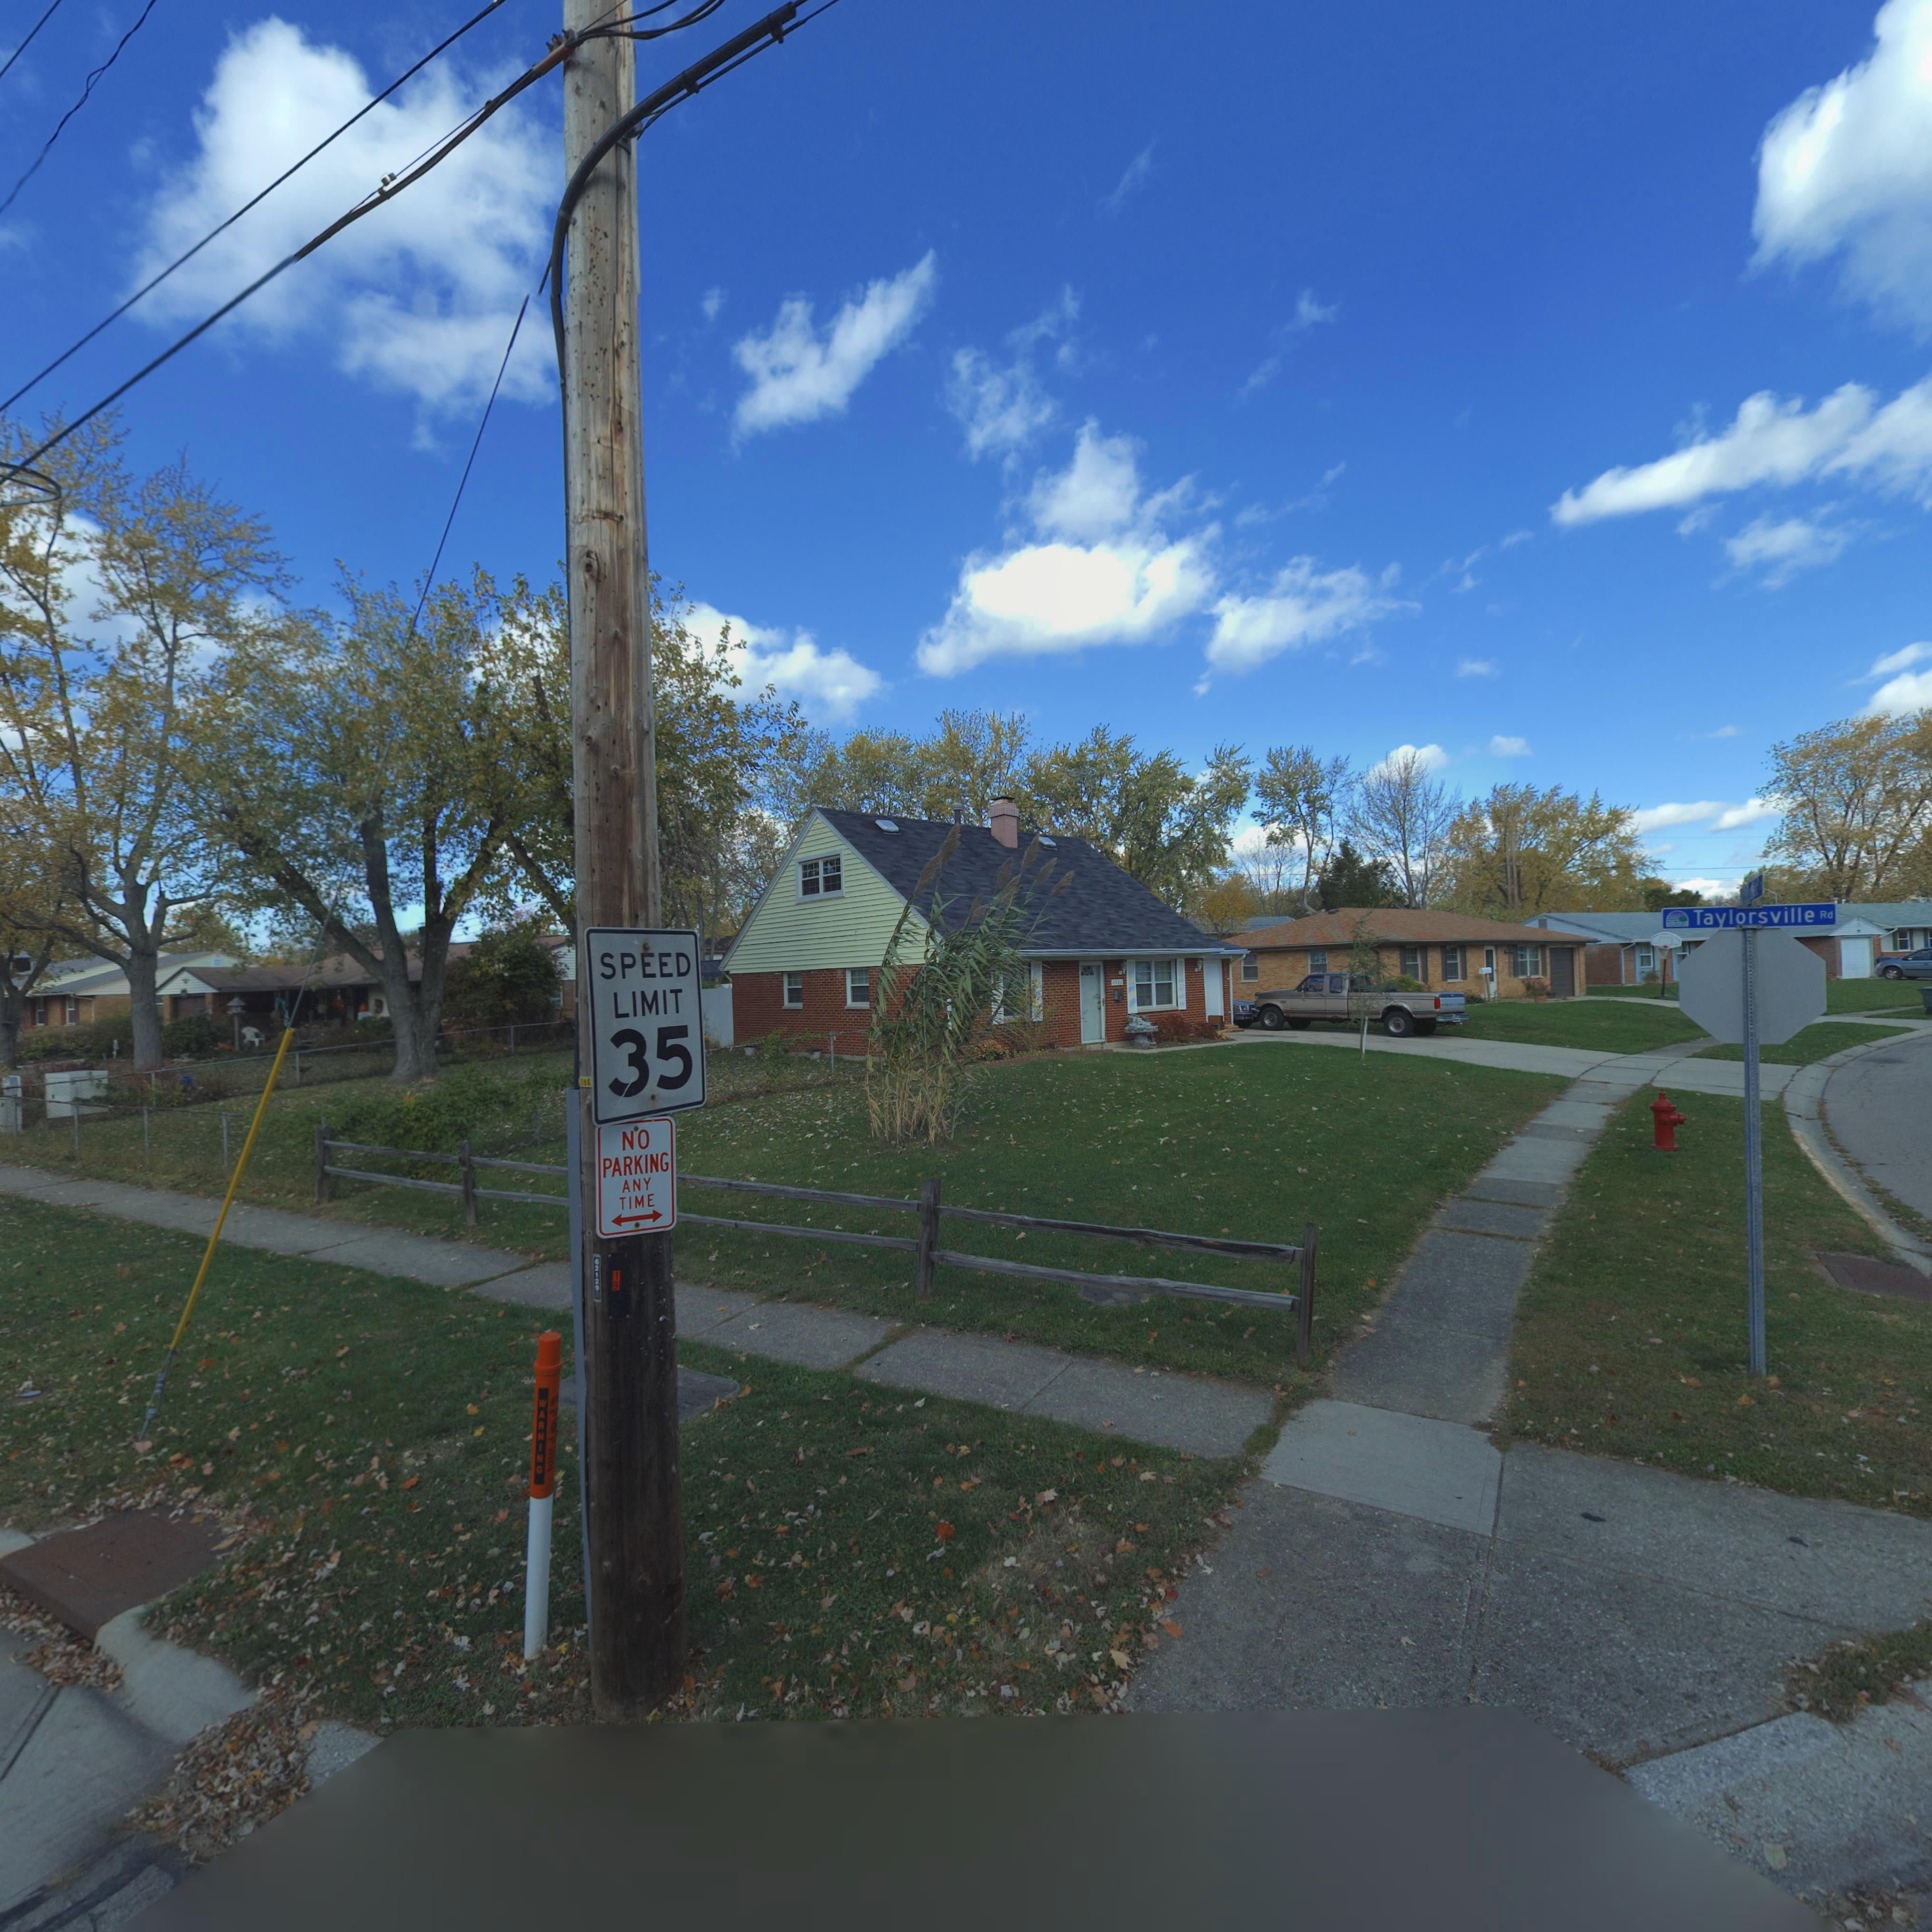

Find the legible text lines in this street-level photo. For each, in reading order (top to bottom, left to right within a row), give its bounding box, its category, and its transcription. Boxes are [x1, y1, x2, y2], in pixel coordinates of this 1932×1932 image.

[1692, 906, 1834, 930] StreetName: Taylorsville Rd
[1112, 980, 1122, 985] StreetNumber: 75**